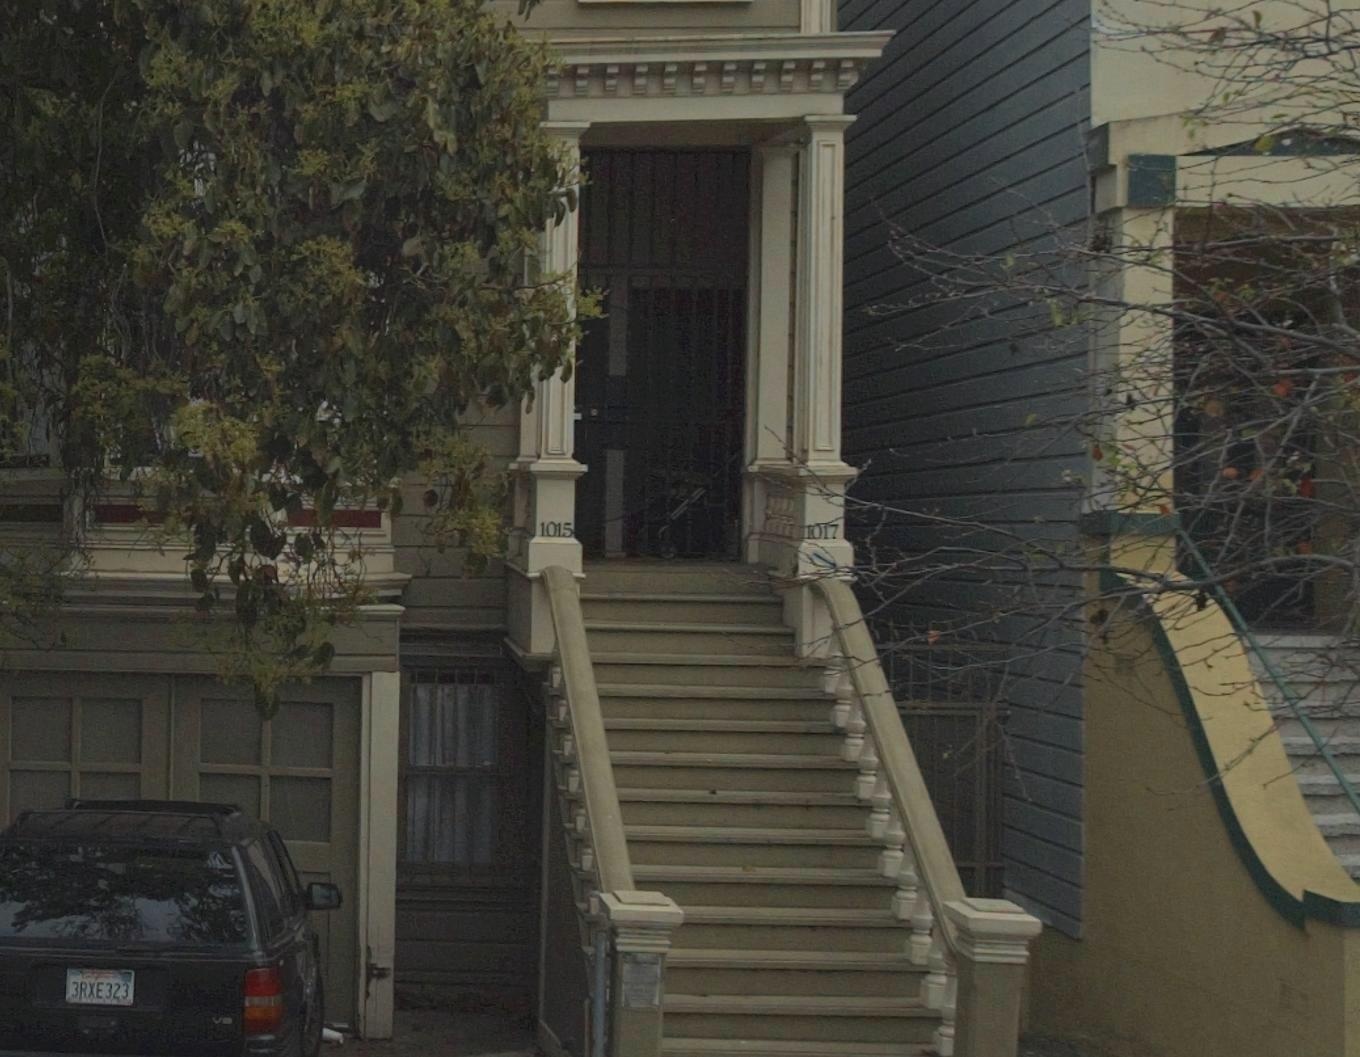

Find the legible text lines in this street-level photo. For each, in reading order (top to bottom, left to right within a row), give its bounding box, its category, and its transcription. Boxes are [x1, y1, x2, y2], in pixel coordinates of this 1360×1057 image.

[539, 520, 574, 538] StreetNumber: 1015
[805, 523, 840, 540] StreetNumber: 1017
[71, 980, 130, 1000] None: 3RXE323